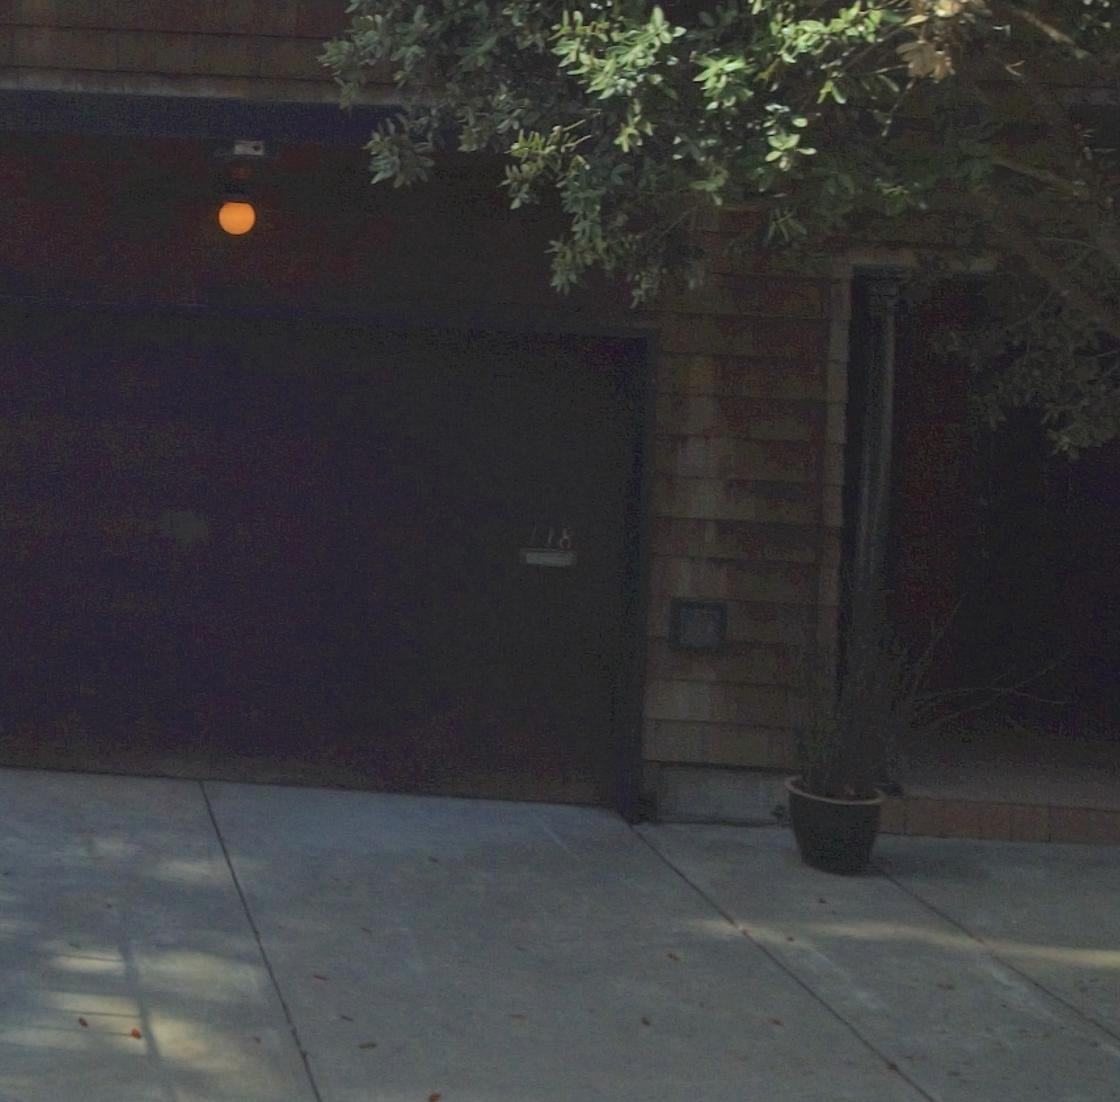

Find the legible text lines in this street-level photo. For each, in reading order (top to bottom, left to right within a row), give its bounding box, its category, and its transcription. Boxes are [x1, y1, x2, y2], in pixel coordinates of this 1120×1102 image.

[523, 523, 577, 553] StreetNumber: 118